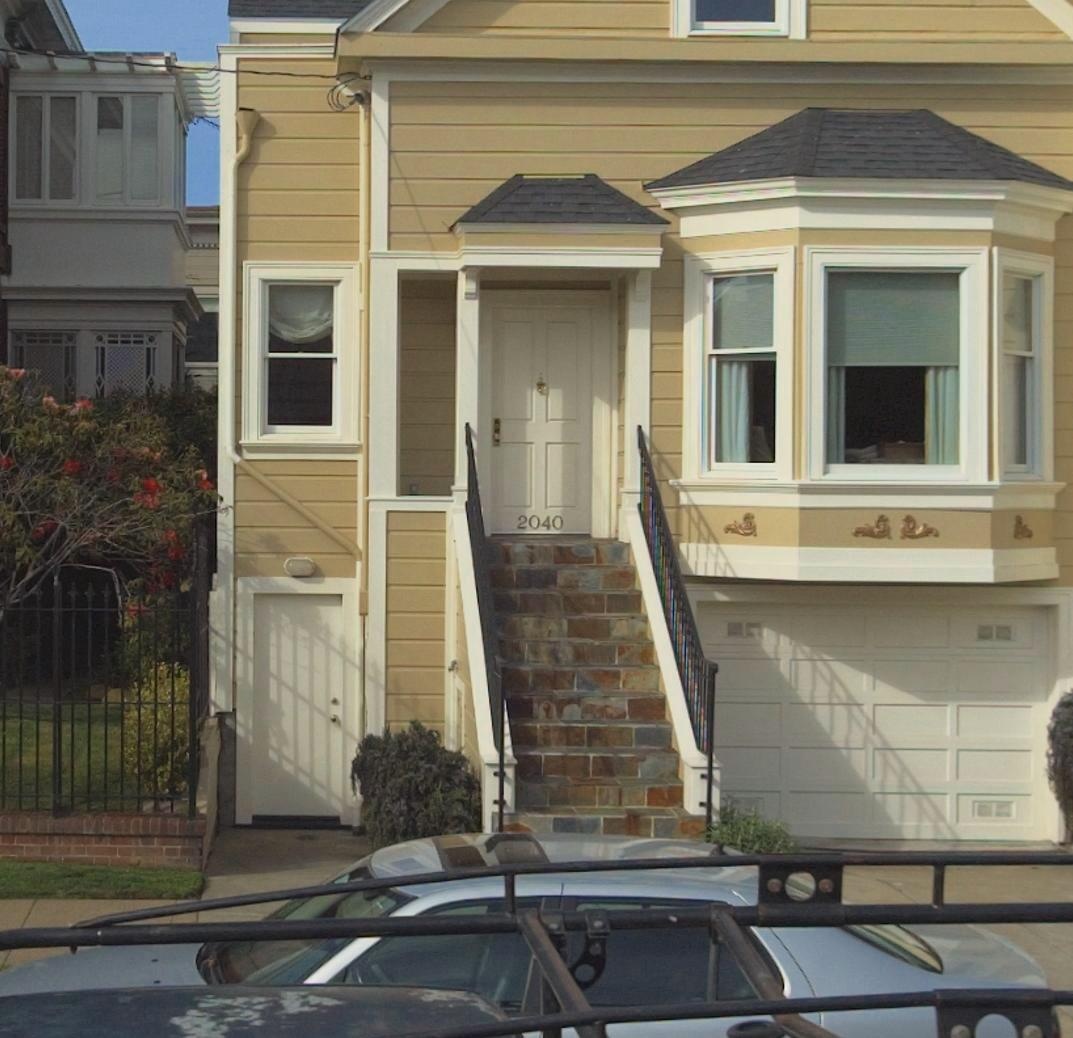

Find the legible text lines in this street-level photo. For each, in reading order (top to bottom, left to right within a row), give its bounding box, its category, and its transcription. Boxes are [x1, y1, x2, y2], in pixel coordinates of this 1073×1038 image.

[515, 513, 565, 531] StreetNumber: 2040